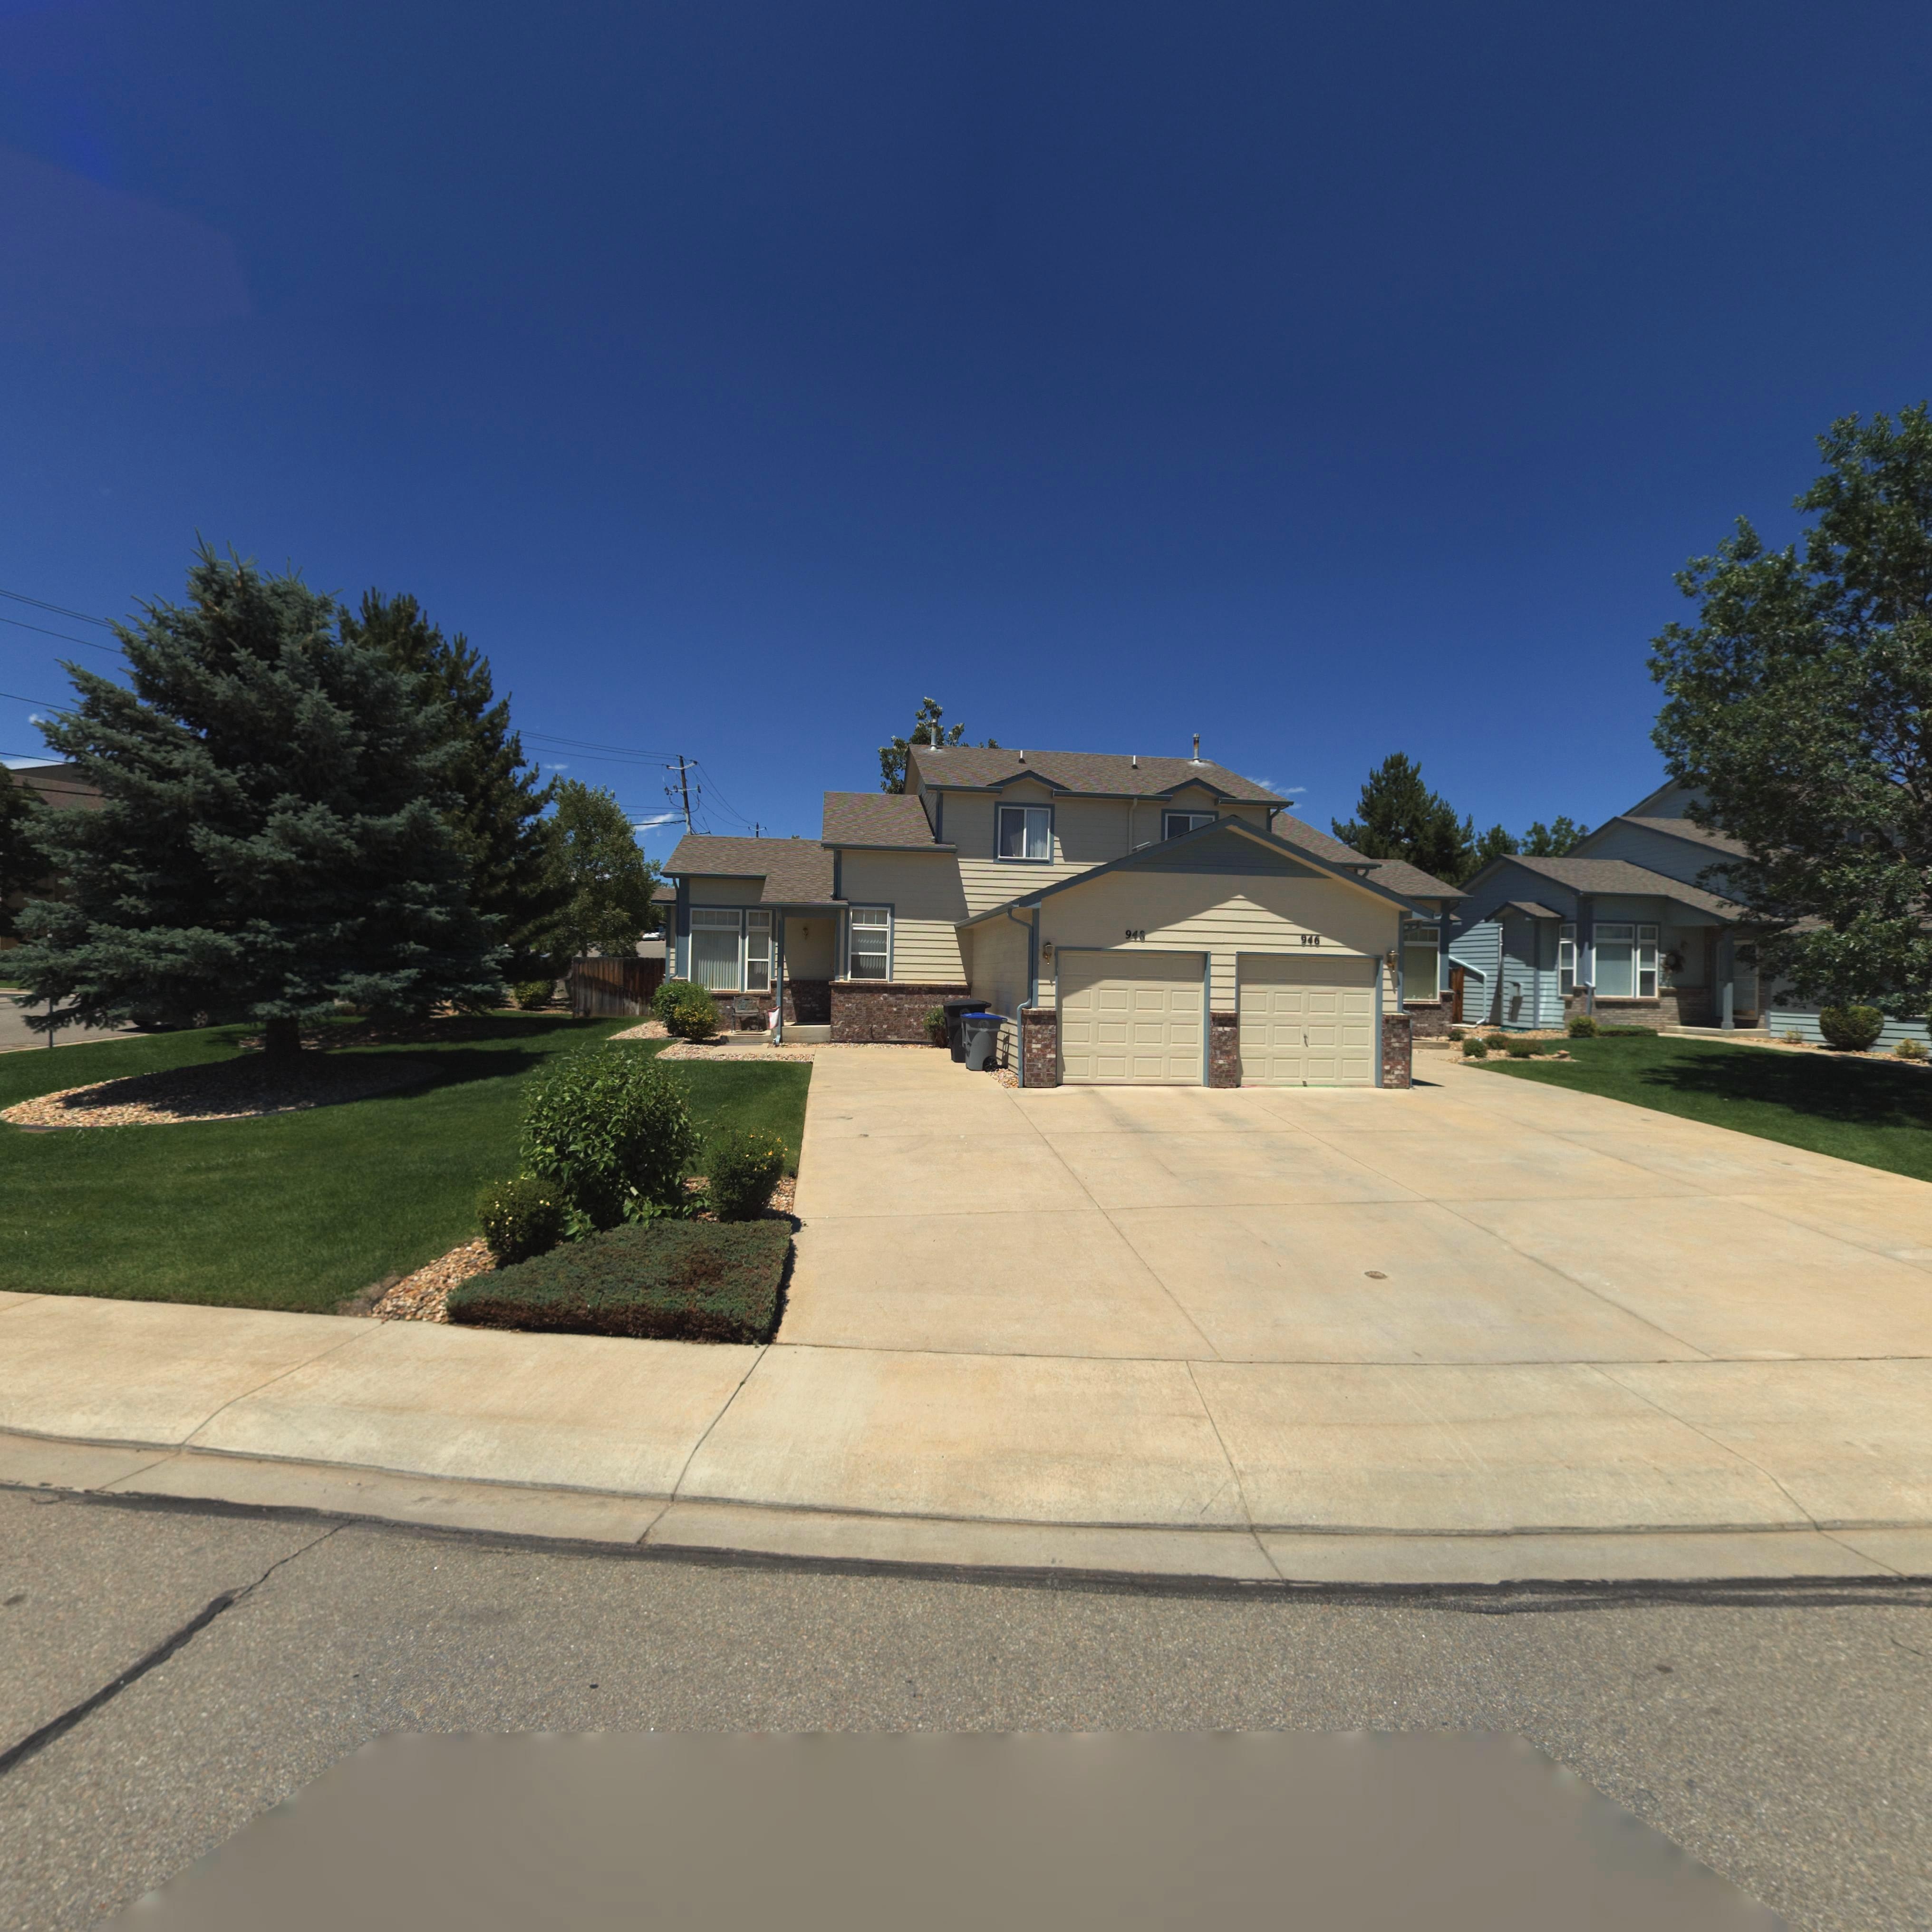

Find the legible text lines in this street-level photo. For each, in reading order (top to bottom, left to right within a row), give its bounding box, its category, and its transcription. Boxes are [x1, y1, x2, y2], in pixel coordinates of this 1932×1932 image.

[1124, 928, 1146, 940] StreetNumber: 948
[1300, 933, 1320, 944] StreetNumber: 946